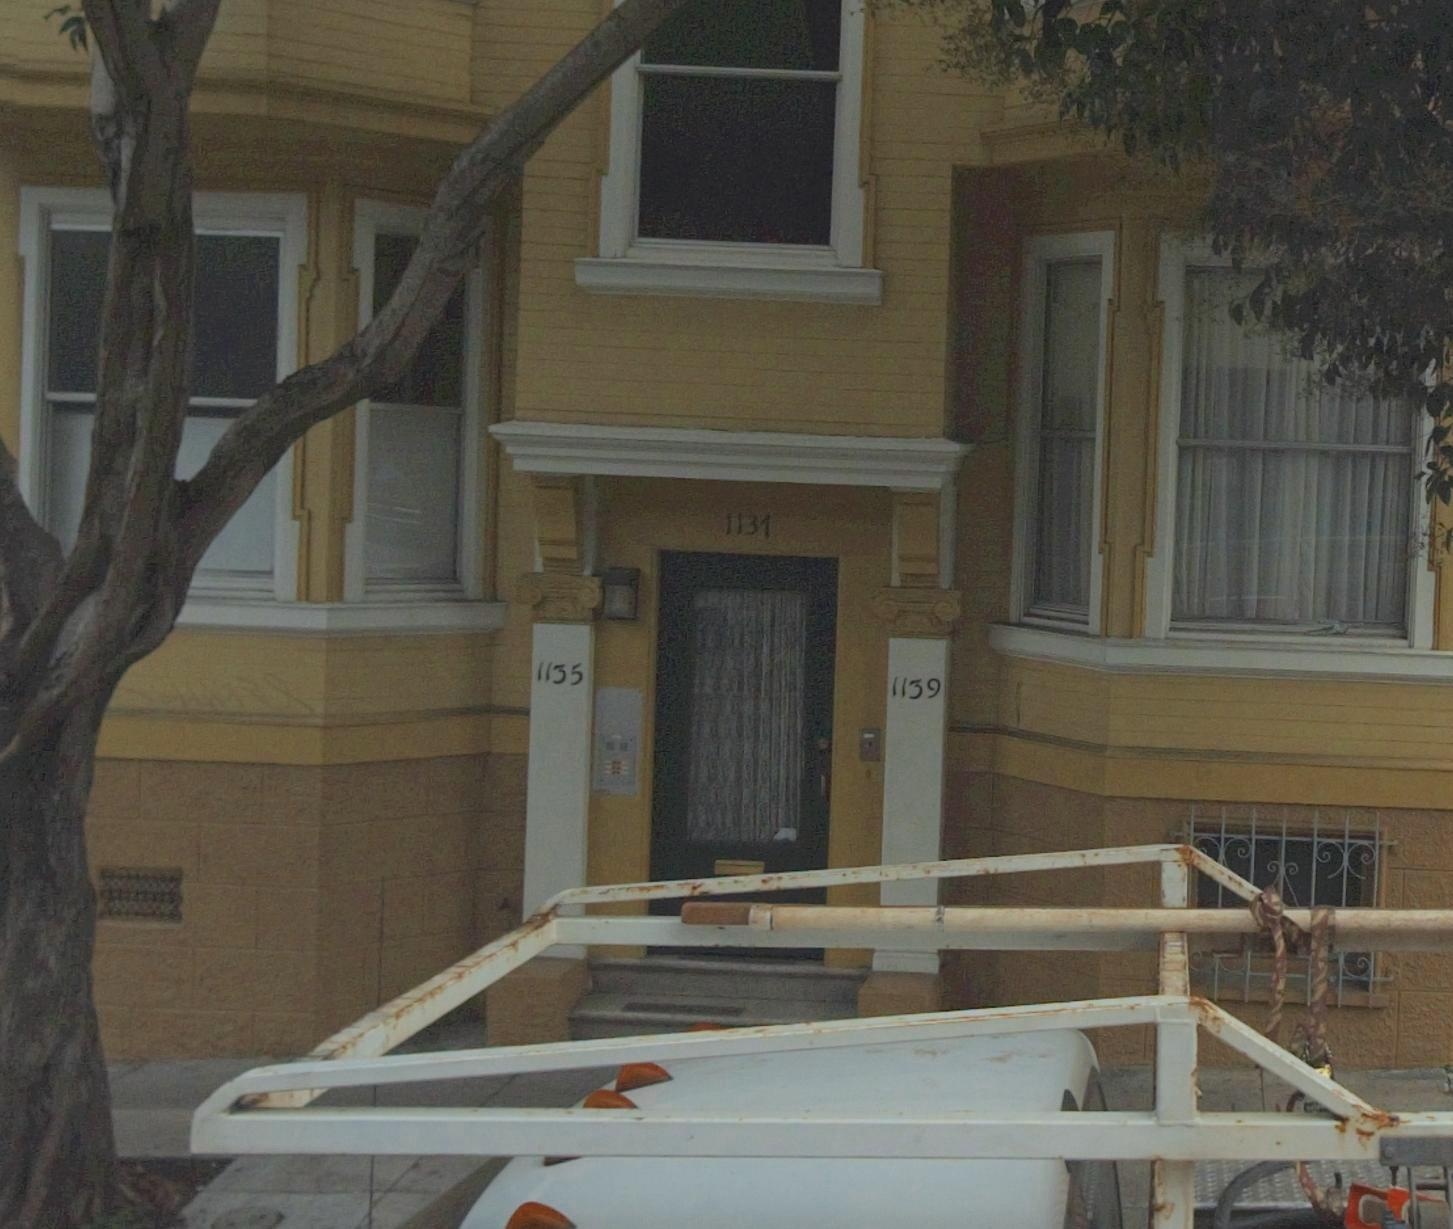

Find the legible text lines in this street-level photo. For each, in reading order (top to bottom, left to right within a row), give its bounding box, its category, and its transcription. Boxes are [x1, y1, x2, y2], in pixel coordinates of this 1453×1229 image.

[723, 510, 773, 540] StreetNumber: 1131
[536, 660, 585, 687] StreetNumber: 1135
[889, 675, 942, 701] StreetNumber: 1139